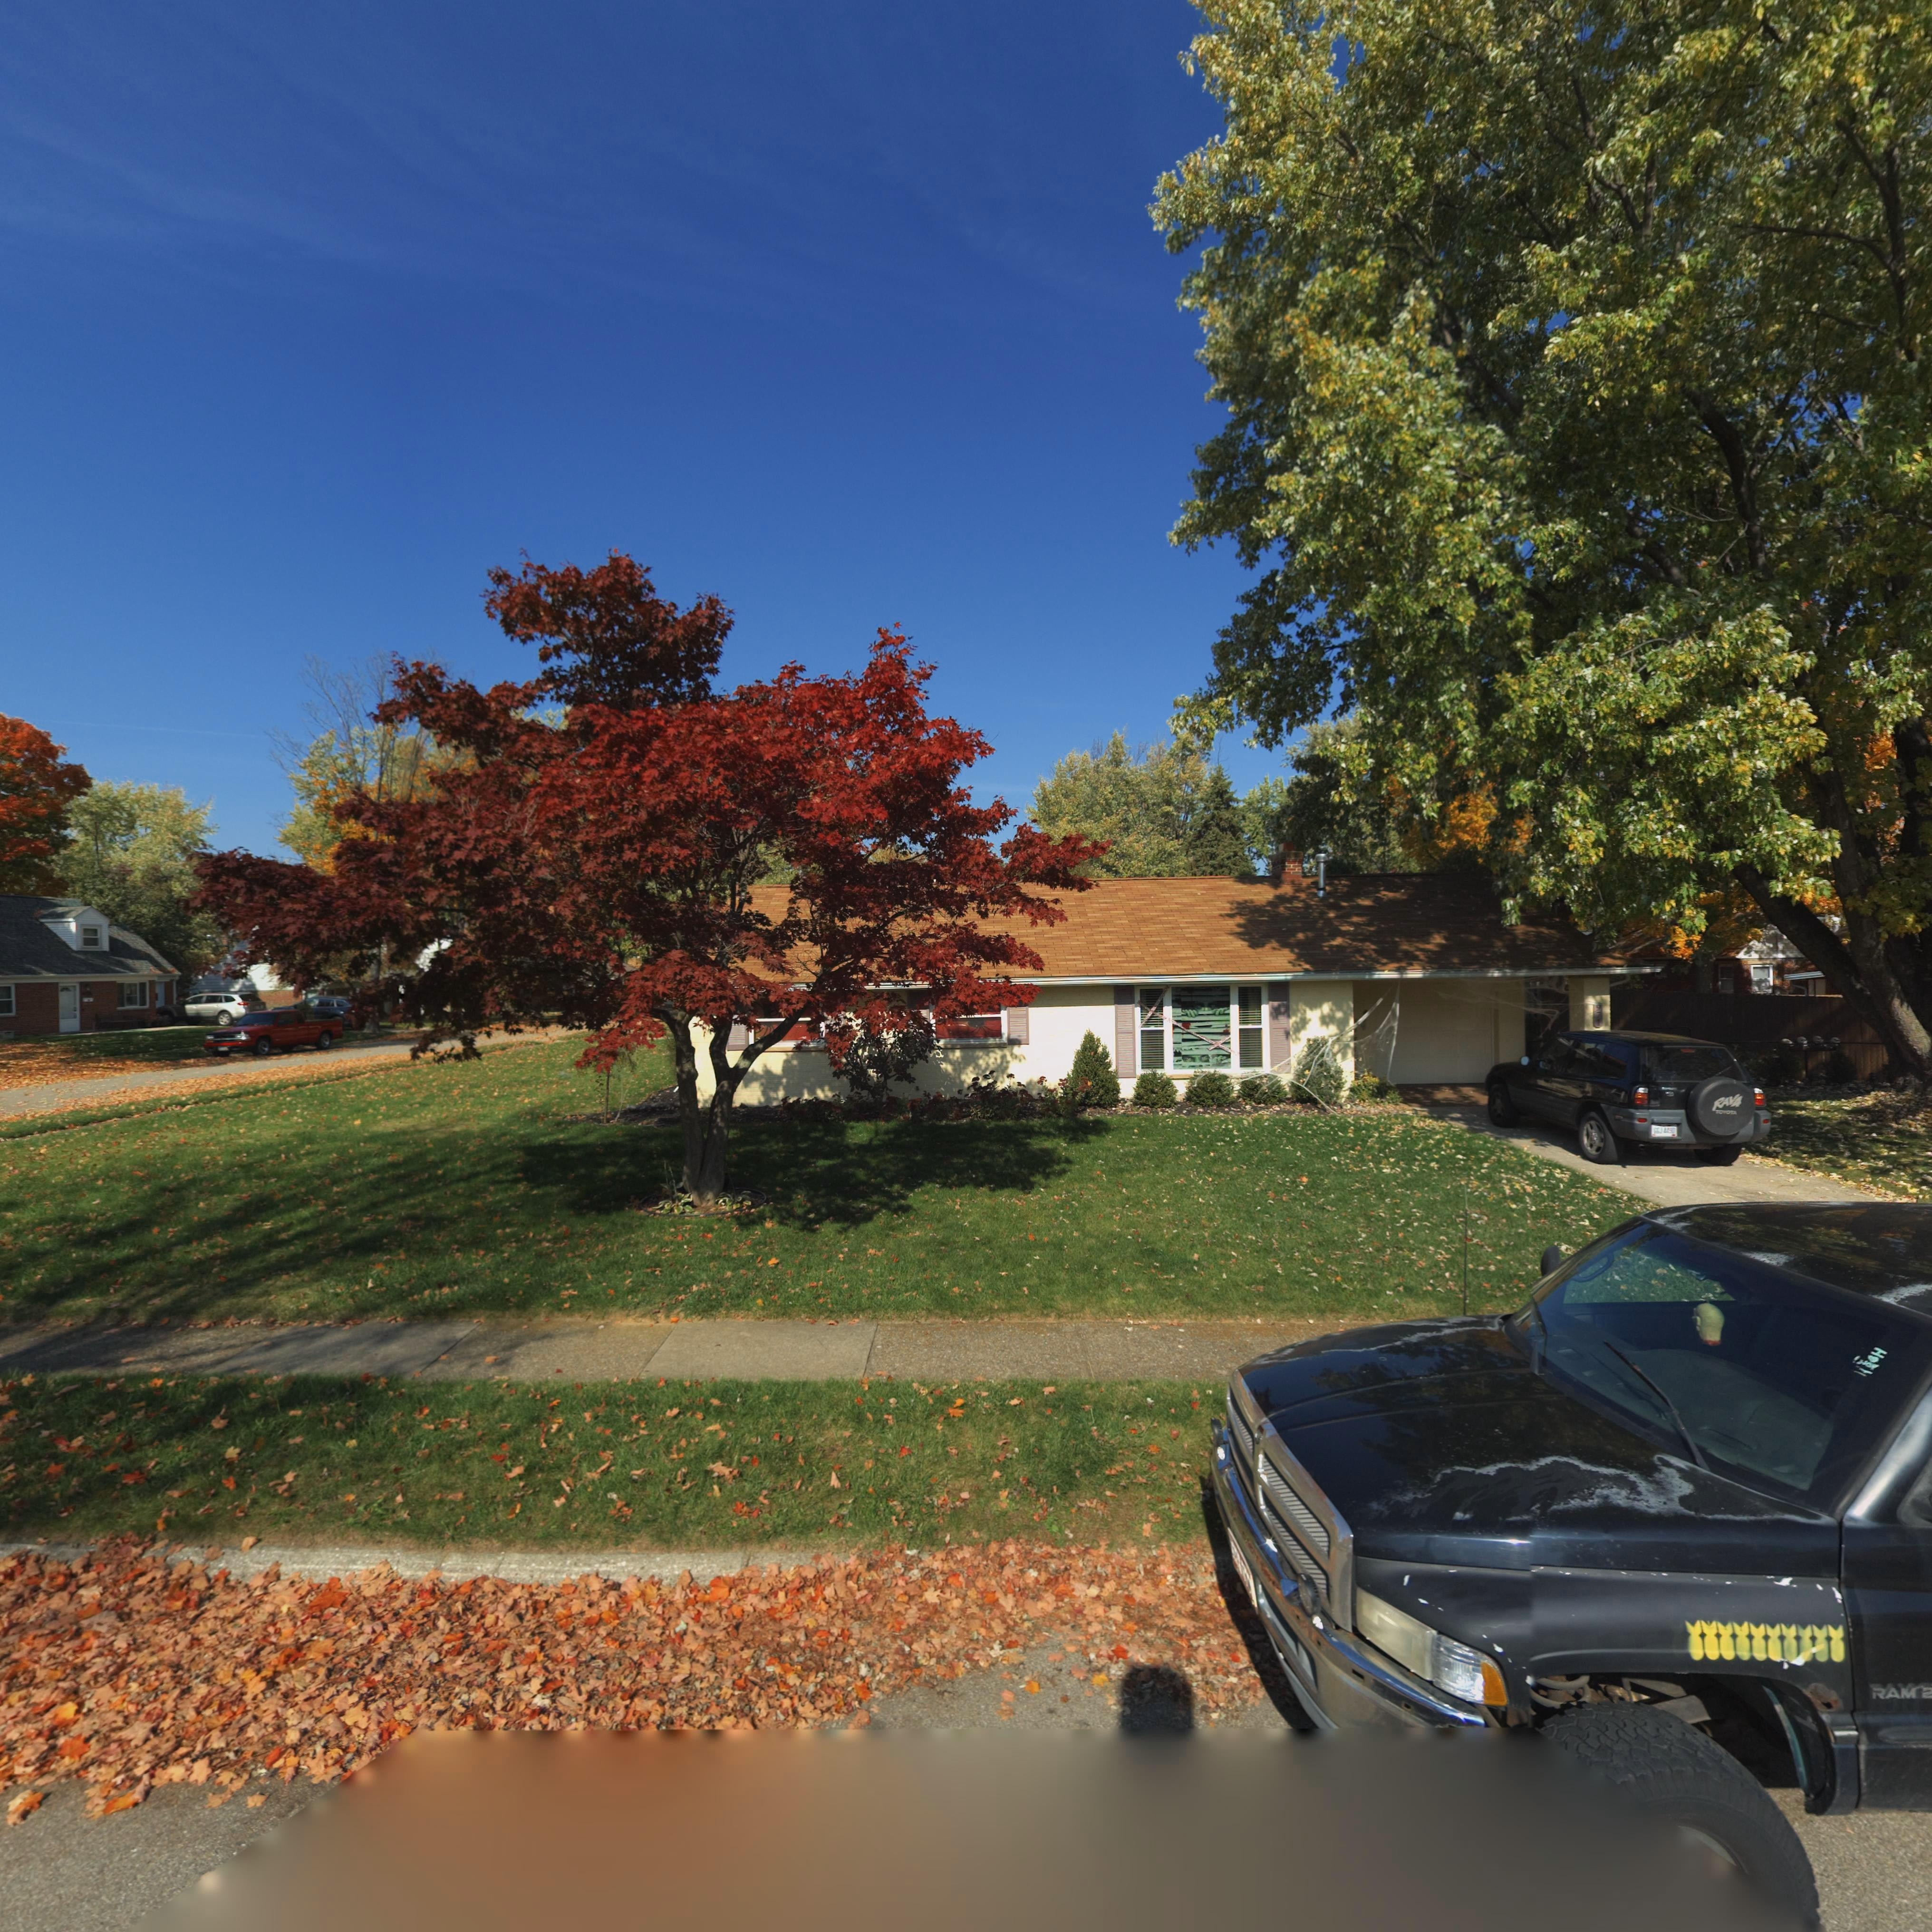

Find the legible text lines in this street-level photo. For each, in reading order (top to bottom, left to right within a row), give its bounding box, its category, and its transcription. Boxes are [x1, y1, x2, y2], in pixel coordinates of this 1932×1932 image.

[1709, 1092, 1746, 1114] None: RAV4
[1870, 1685, 1918, 1701] None: RAM